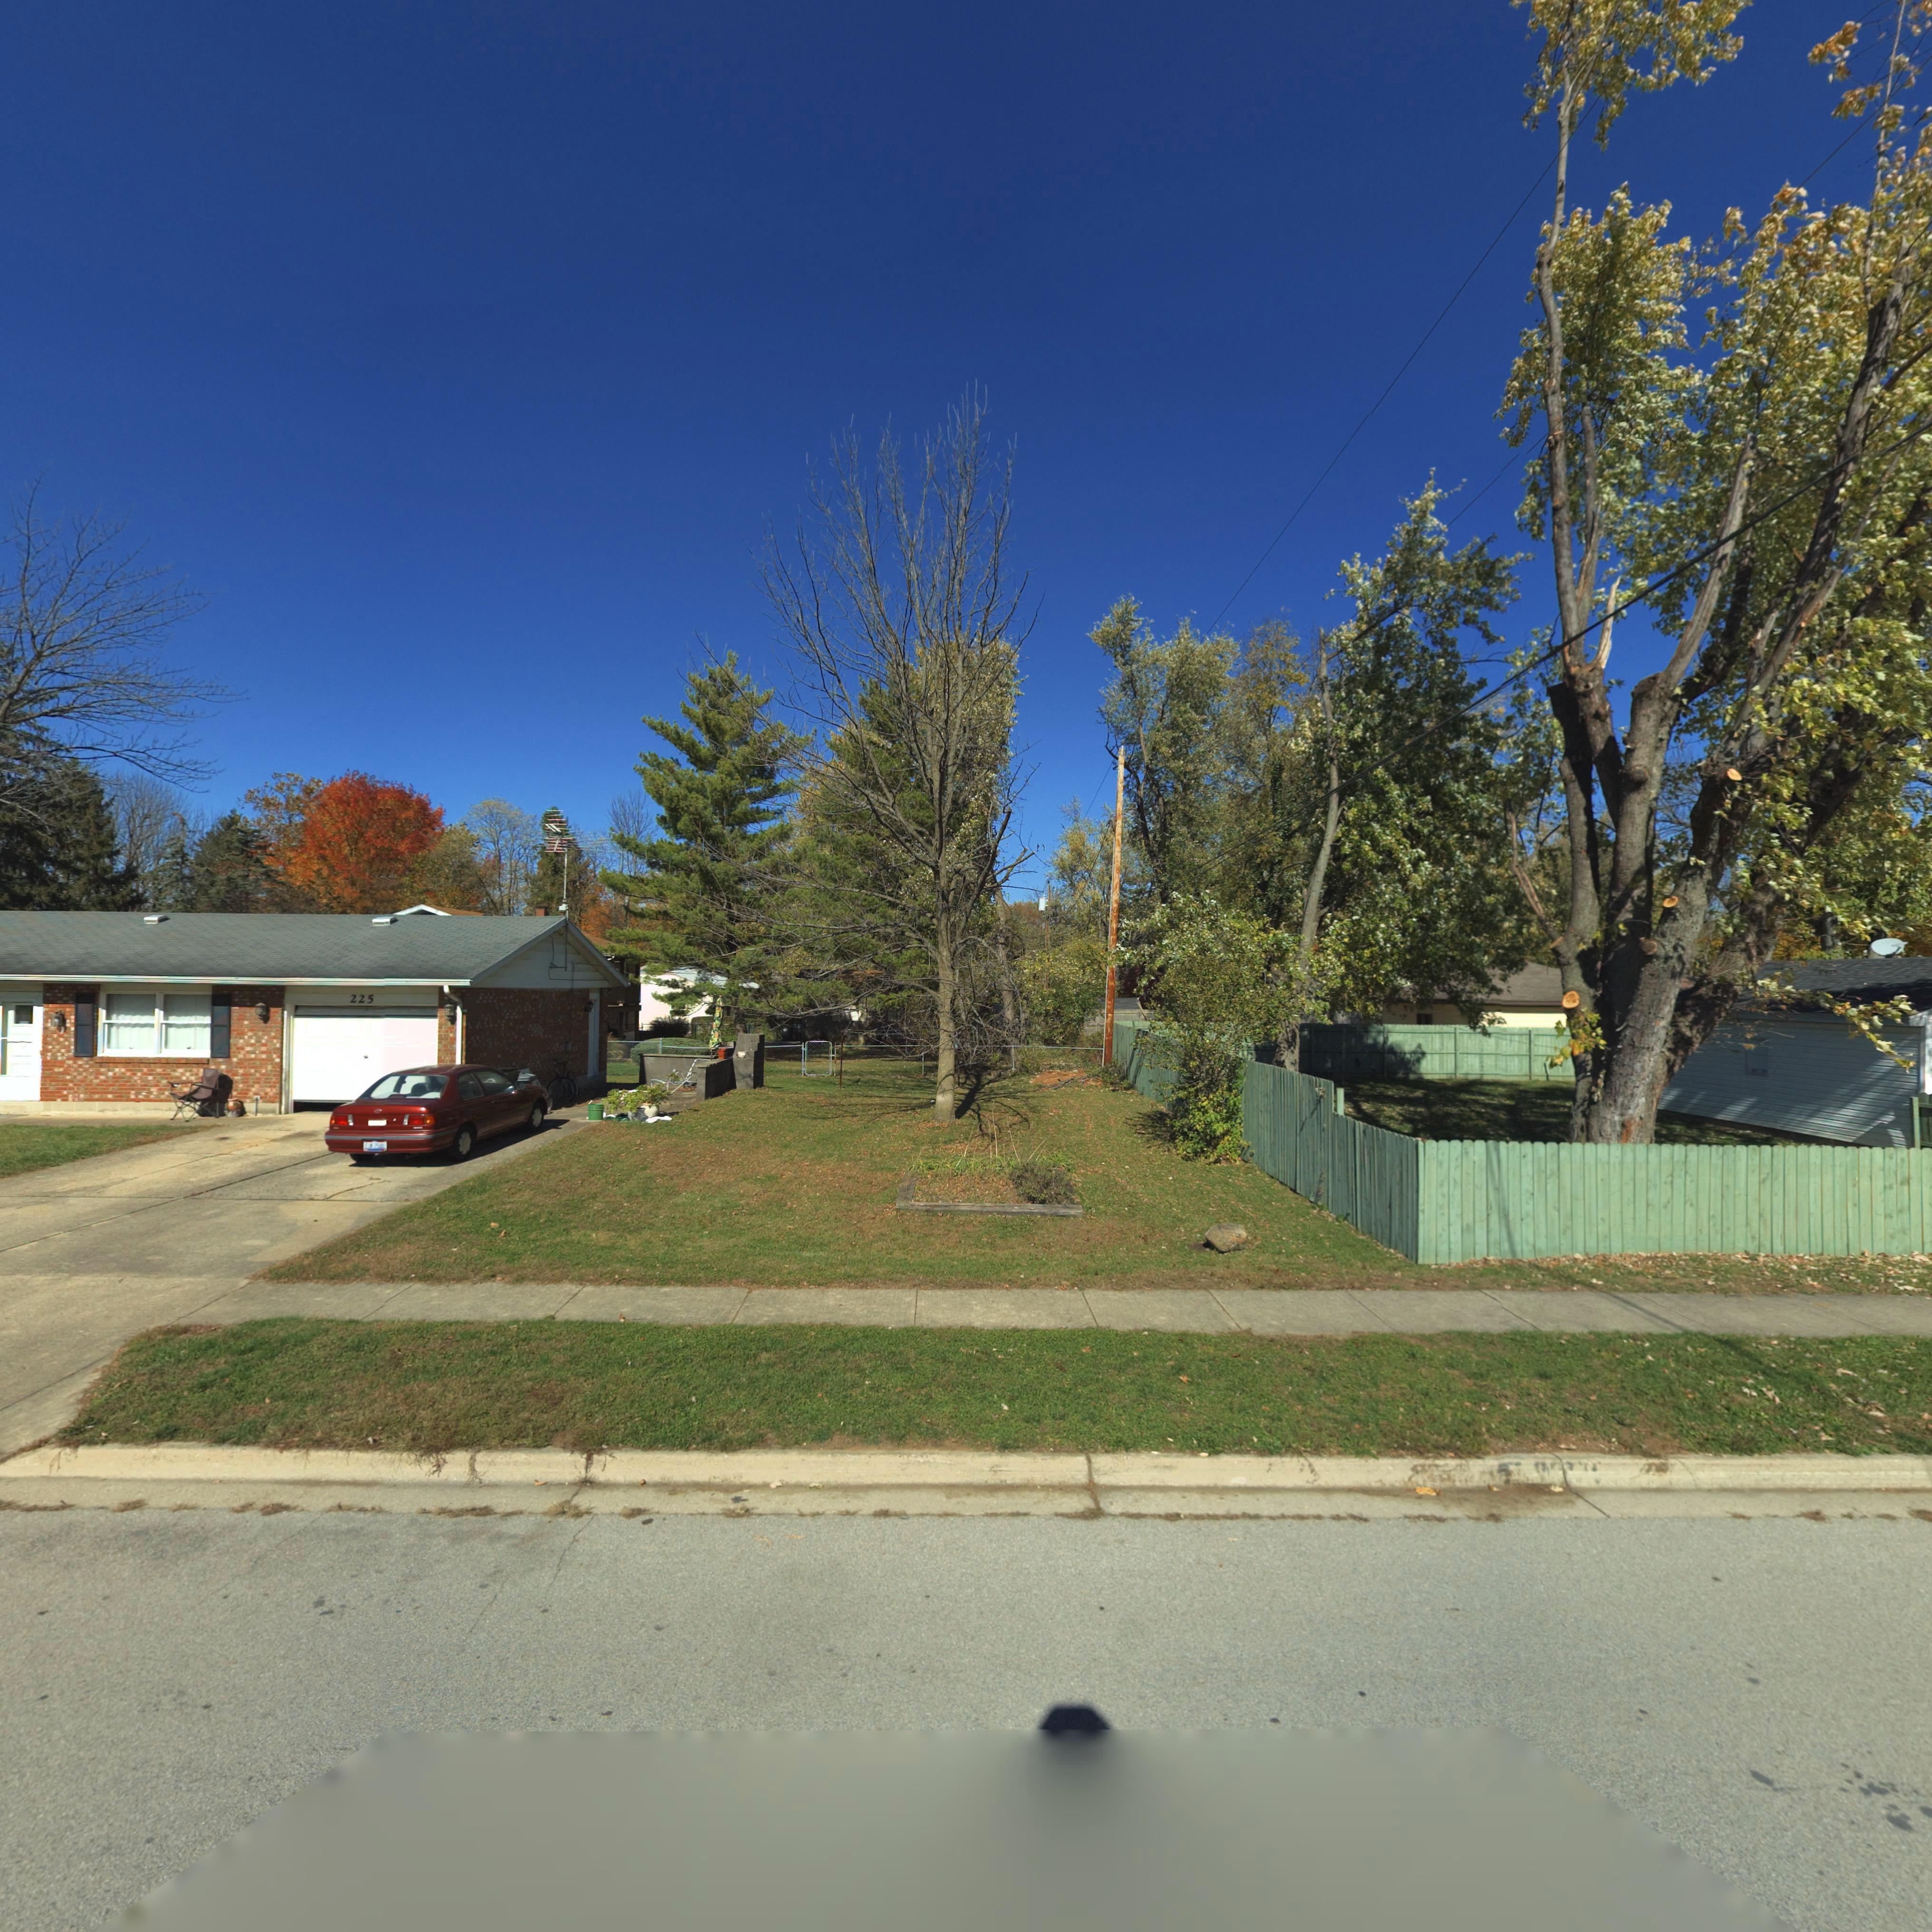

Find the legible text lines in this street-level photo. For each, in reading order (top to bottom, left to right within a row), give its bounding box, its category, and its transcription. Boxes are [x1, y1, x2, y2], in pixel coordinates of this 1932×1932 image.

[349, 994, 374, 1004] StreetNumber: 225